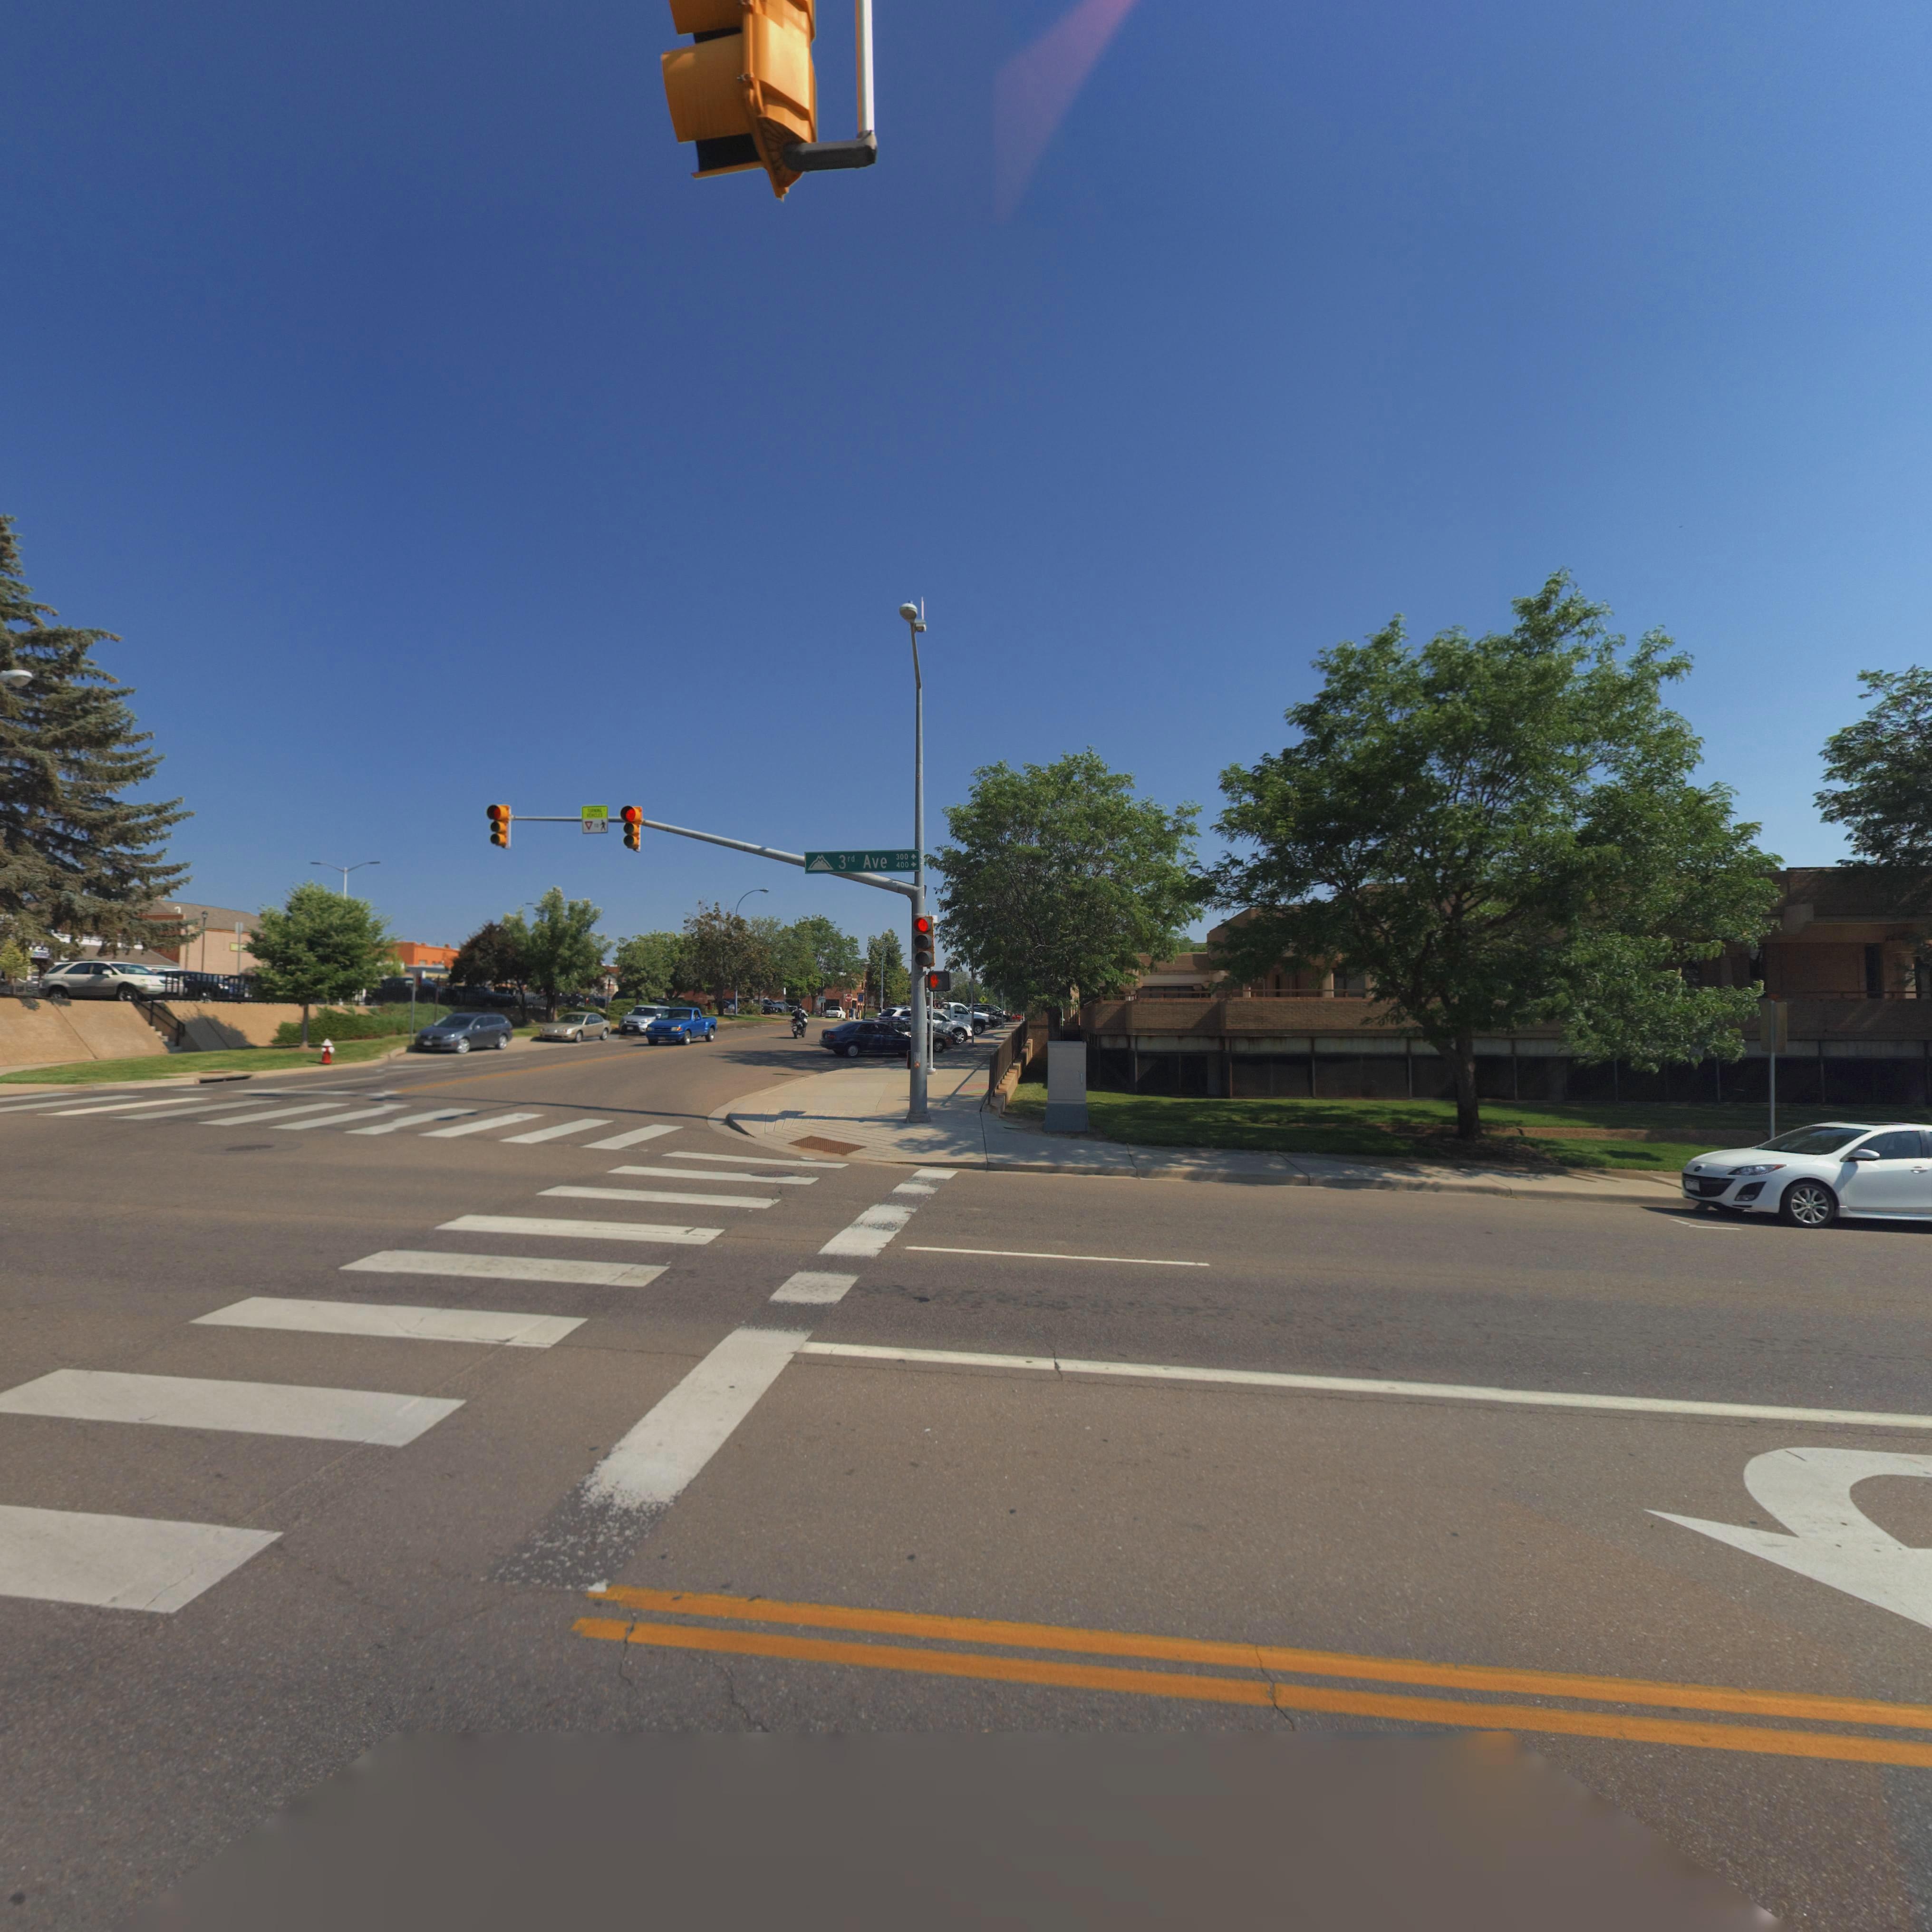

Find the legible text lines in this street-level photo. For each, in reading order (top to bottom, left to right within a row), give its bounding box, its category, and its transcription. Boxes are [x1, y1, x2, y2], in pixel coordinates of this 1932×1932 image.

[896, 853, 908, 860] StreetNumberRange: 300
[838, 854, 887, 869] StreetName: 3rd Ave
[896, 861, 917, 868] StreetNumberRange: 400 ->